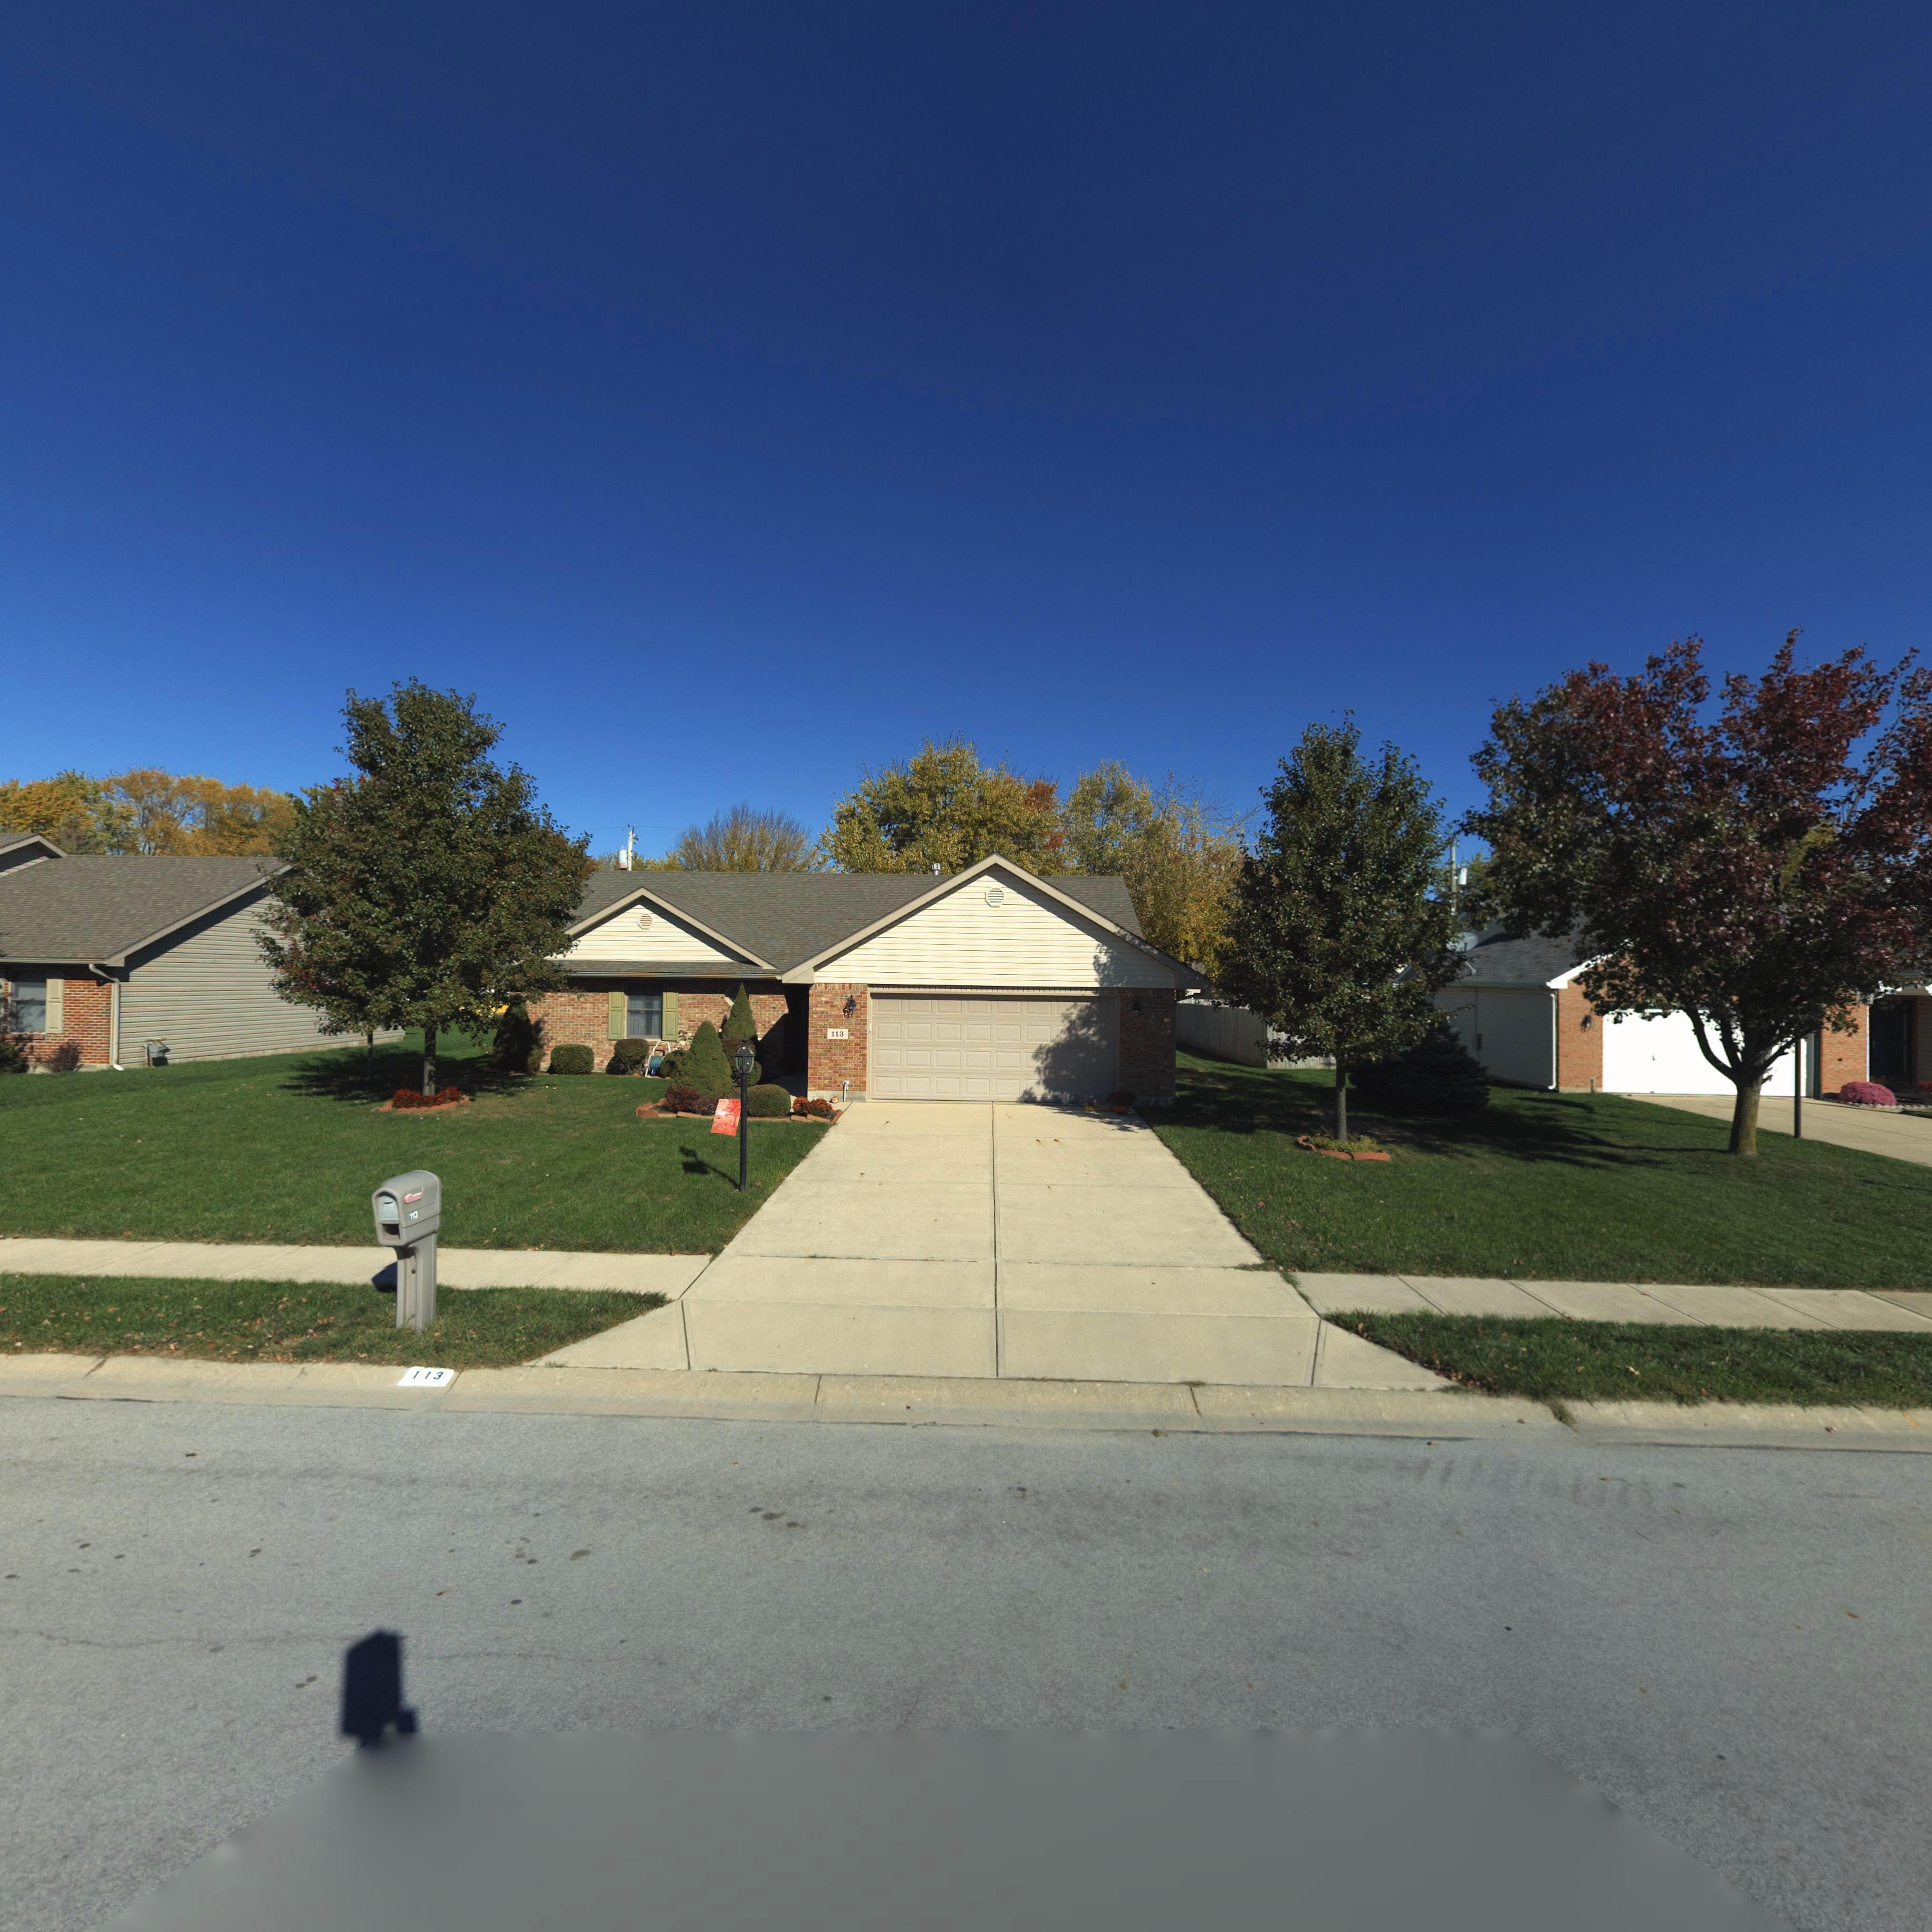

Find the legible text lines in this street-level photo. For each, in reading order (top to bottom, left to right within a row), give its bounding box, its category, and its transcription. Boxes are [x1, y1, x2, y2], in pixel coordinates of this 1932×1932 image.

[831, 1031, 844, 1037] StreetNumber: 113
[409, 1209, 419, 1220] StreetNumber: 113
[412, 1370, 445, 1381] StreetNumber: 113